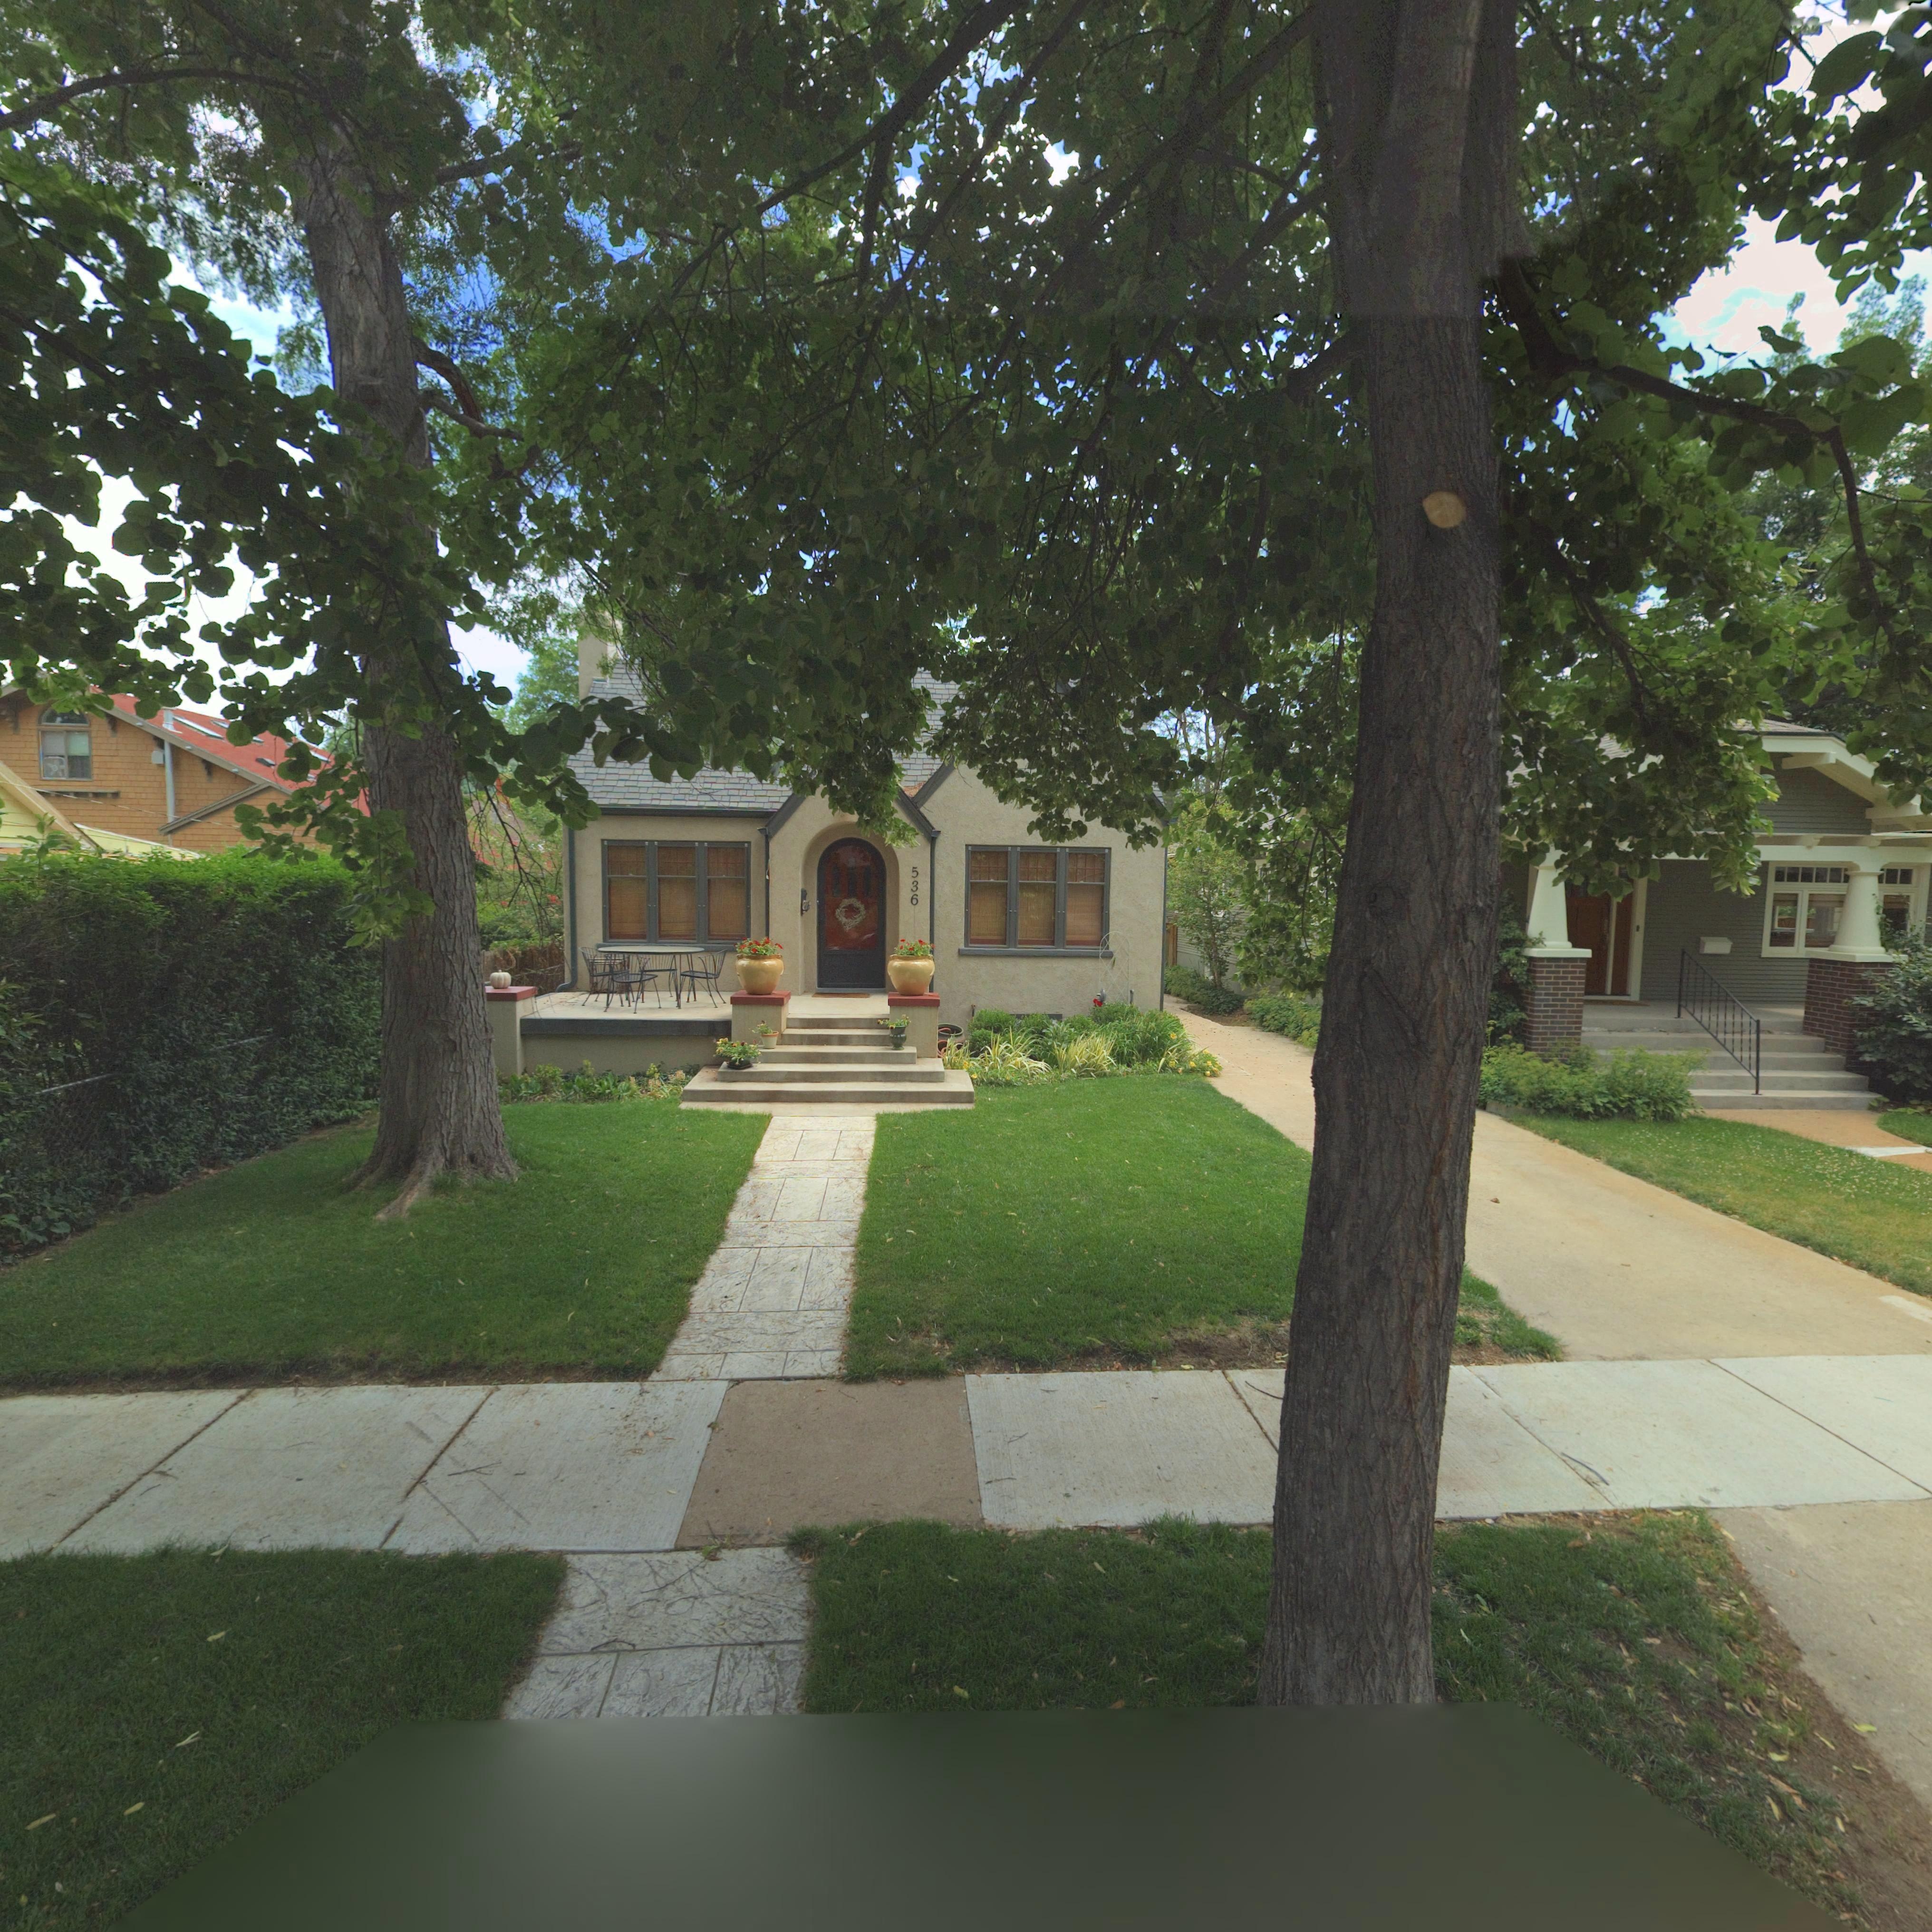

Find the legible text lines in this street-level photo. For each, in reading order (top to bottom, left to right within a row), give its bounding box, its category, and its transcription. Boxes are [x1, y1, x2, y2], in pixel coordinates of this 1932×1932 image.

[909, 866, 919, 906] StreetNumber: 536